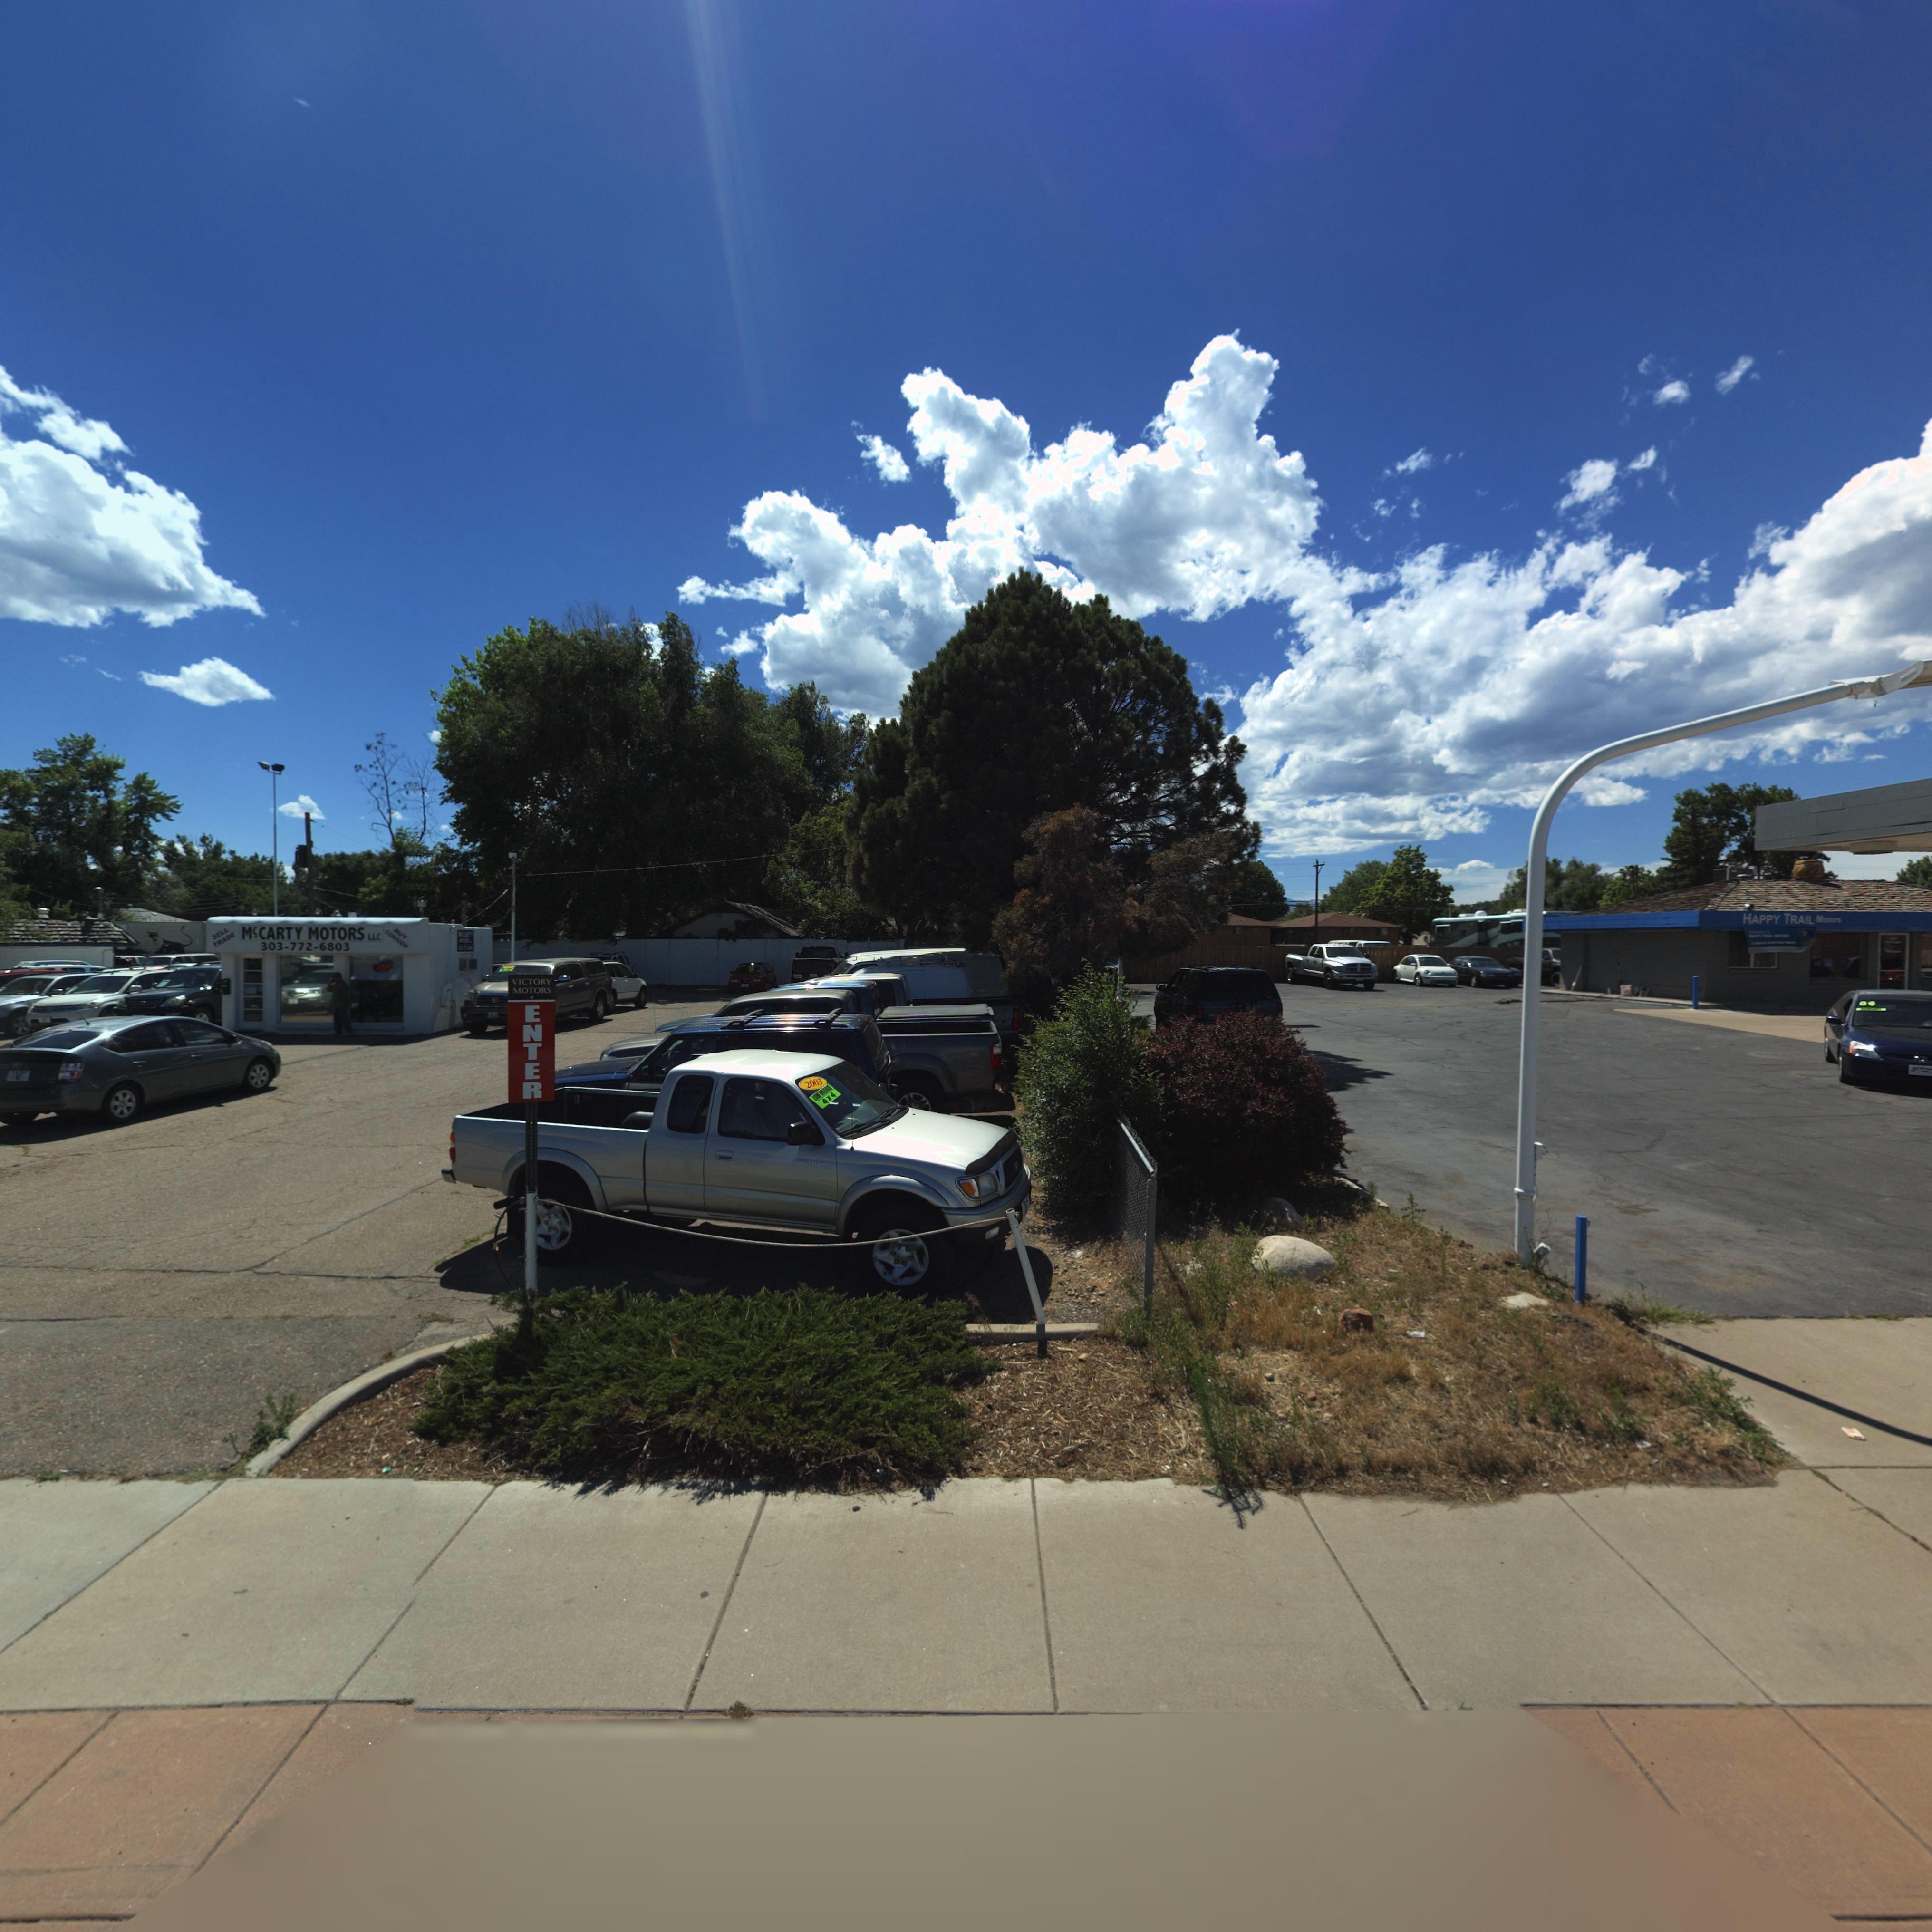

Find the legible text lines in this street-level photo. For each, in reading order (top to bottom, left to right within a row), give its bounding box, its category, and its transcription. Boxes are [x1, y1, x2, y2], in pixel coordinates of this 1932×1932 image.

[1743, 912, 1842, 925] BusinessName: HAPPY TRAIL Motors
[241, 926, 365, 941] BusinessName: McCARTY MOTORS
[368, 933, 381, 940] BusinessName: LLC
[512, 978, 551, 985] BusinessName: VICTORY
[512, 987, 551, 994] BusinessName: MOTORS